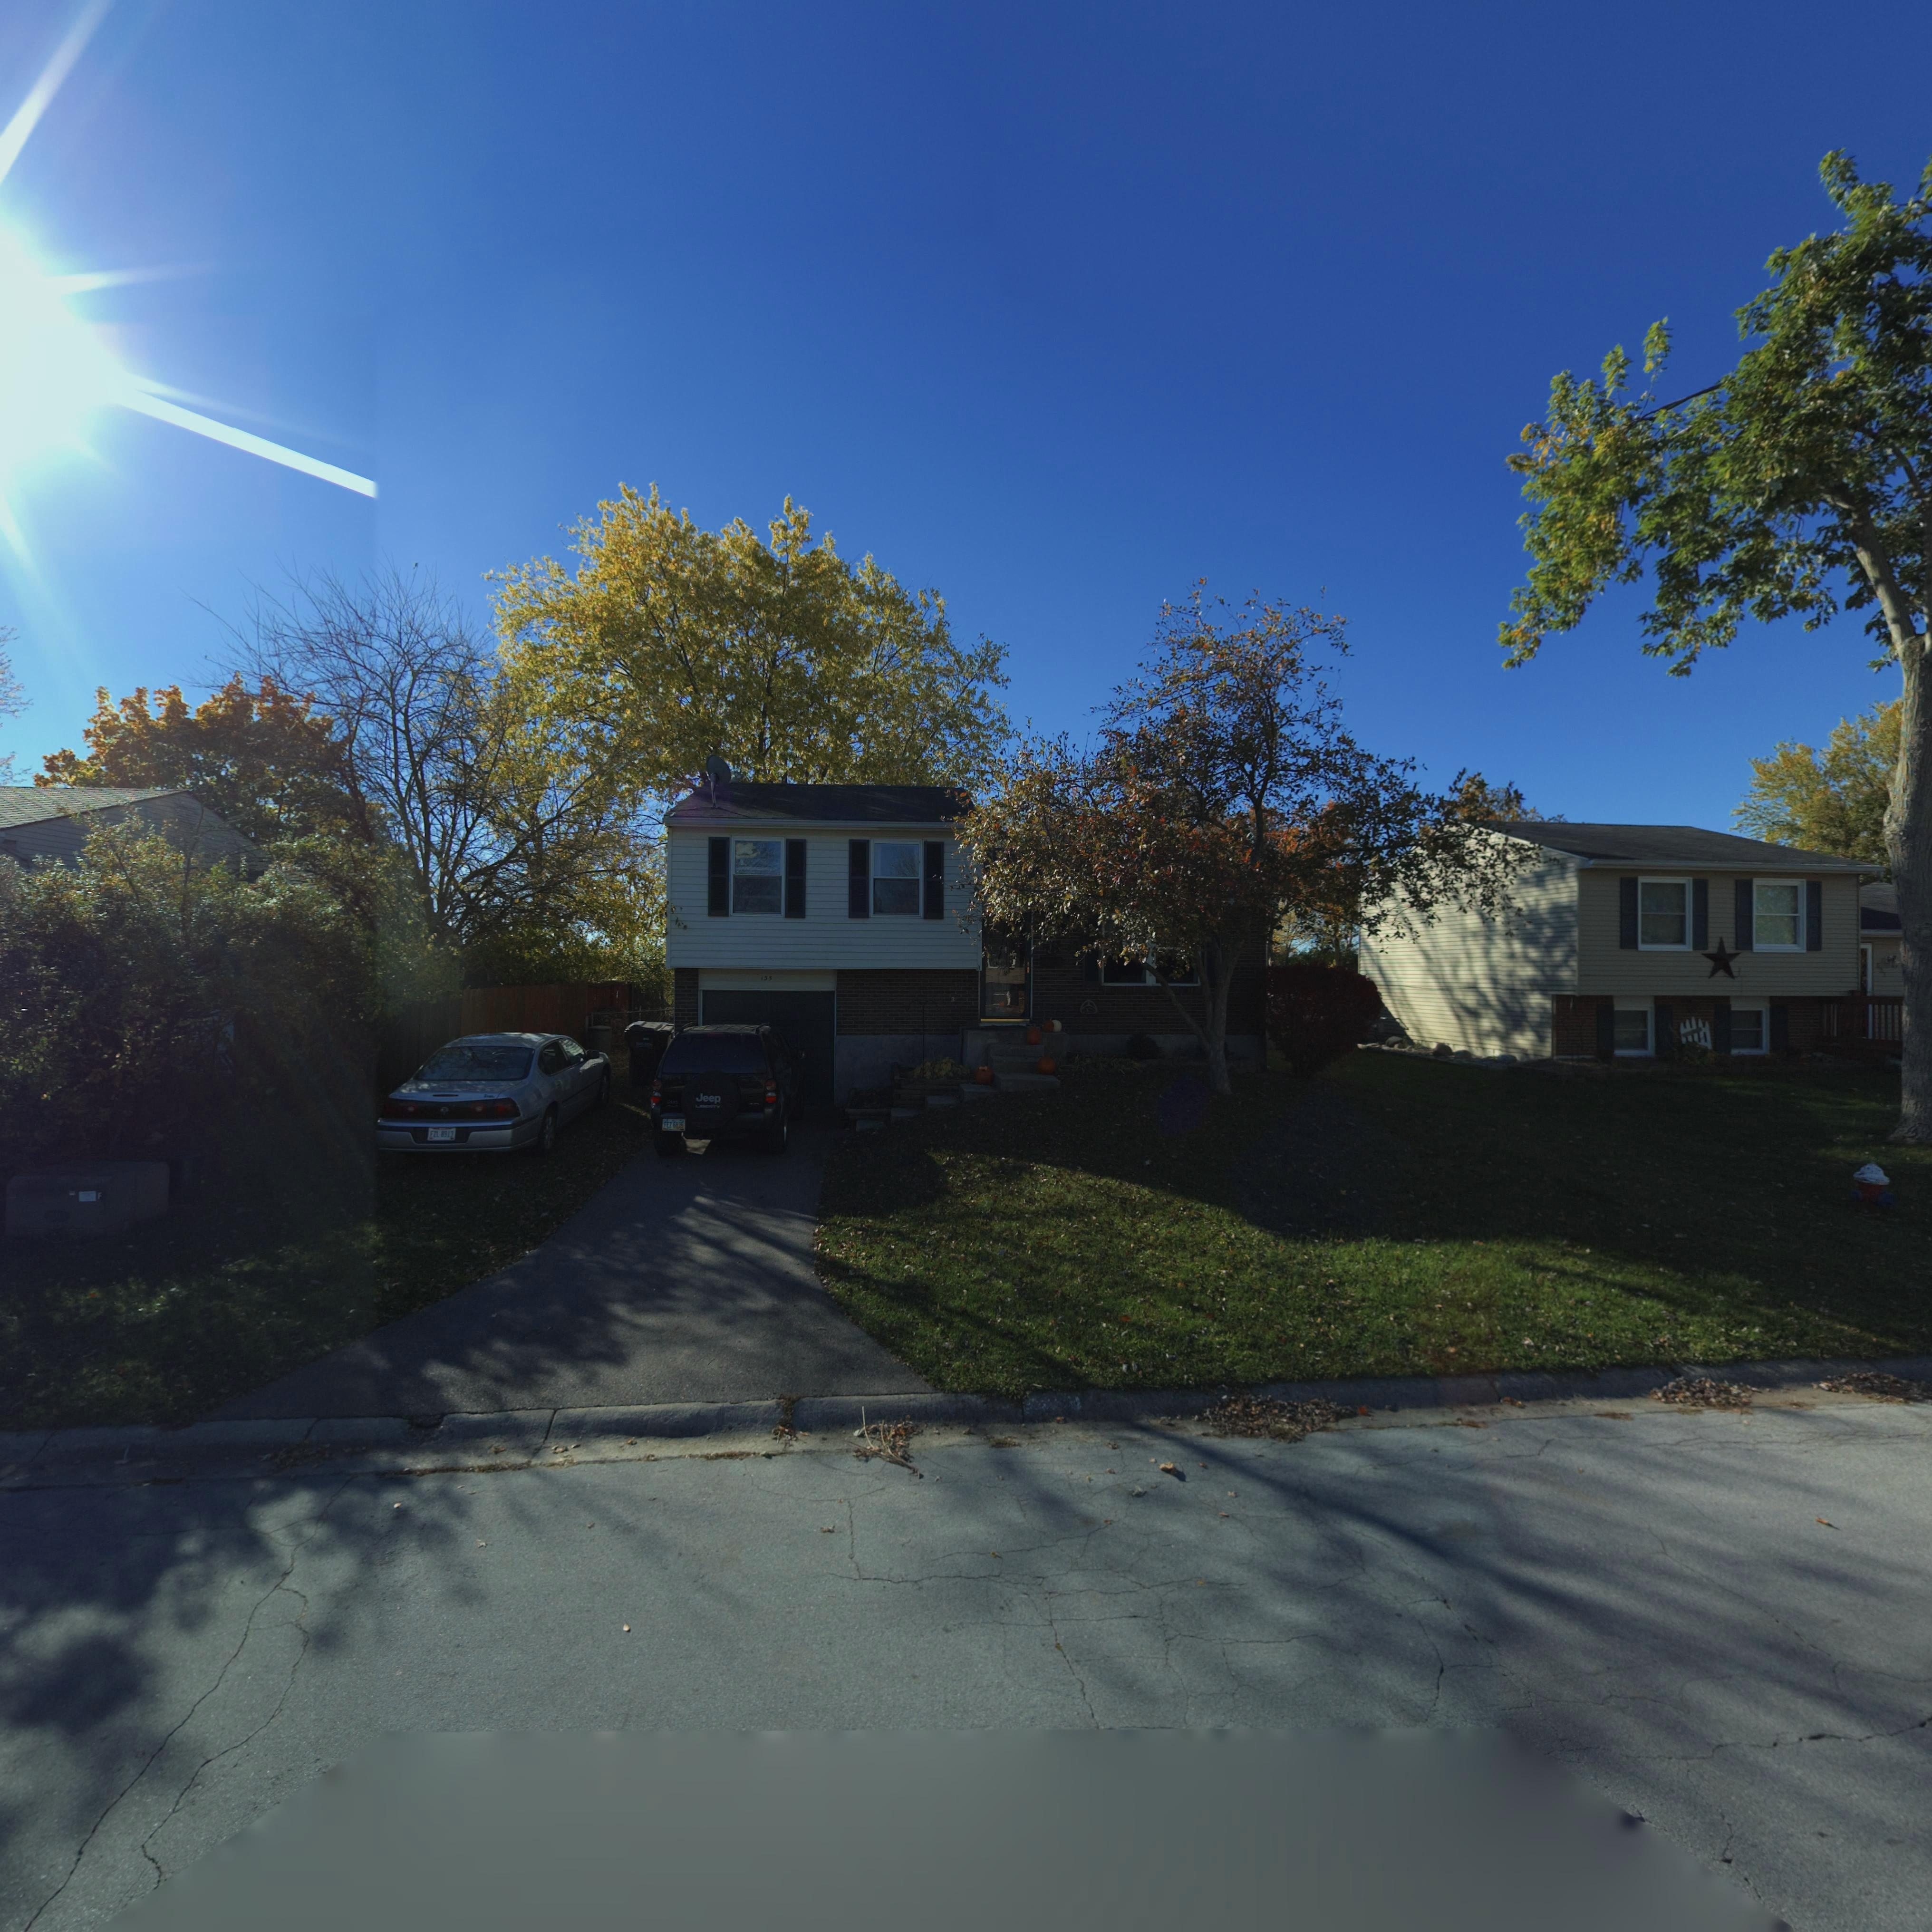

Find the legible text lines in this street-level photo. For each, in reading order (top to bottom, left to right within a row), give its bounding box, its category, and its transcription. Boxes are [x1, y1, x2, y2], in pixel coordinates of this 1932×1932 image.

[760, 976, 773, 981] StreetNumber: 135